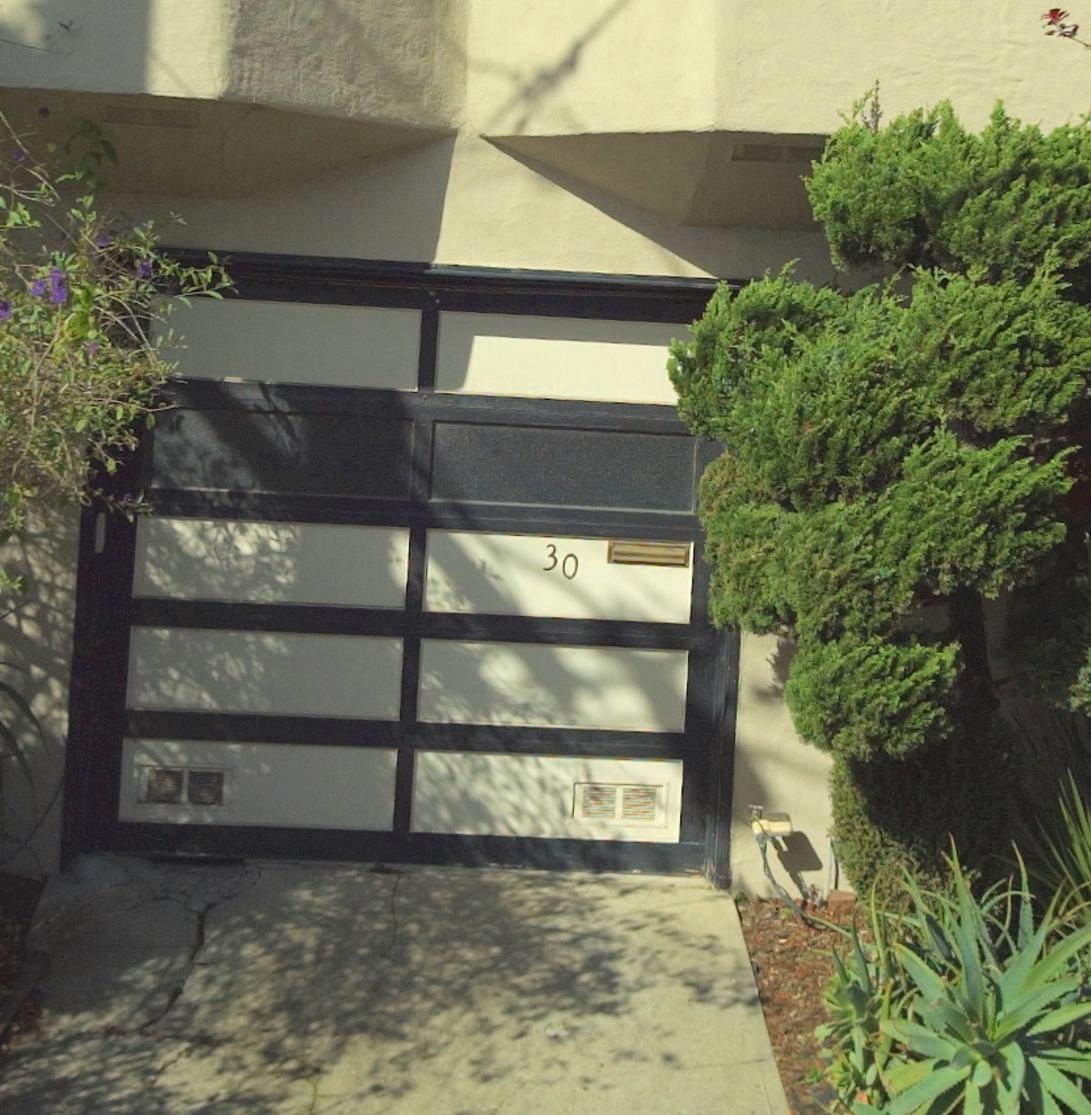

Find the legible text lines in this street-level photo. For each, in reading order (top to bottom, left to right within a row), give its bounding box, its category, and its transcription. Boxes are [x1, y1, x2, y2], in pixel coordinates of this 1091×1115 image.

[539, 539, 583, 584] StreetNumber: 30